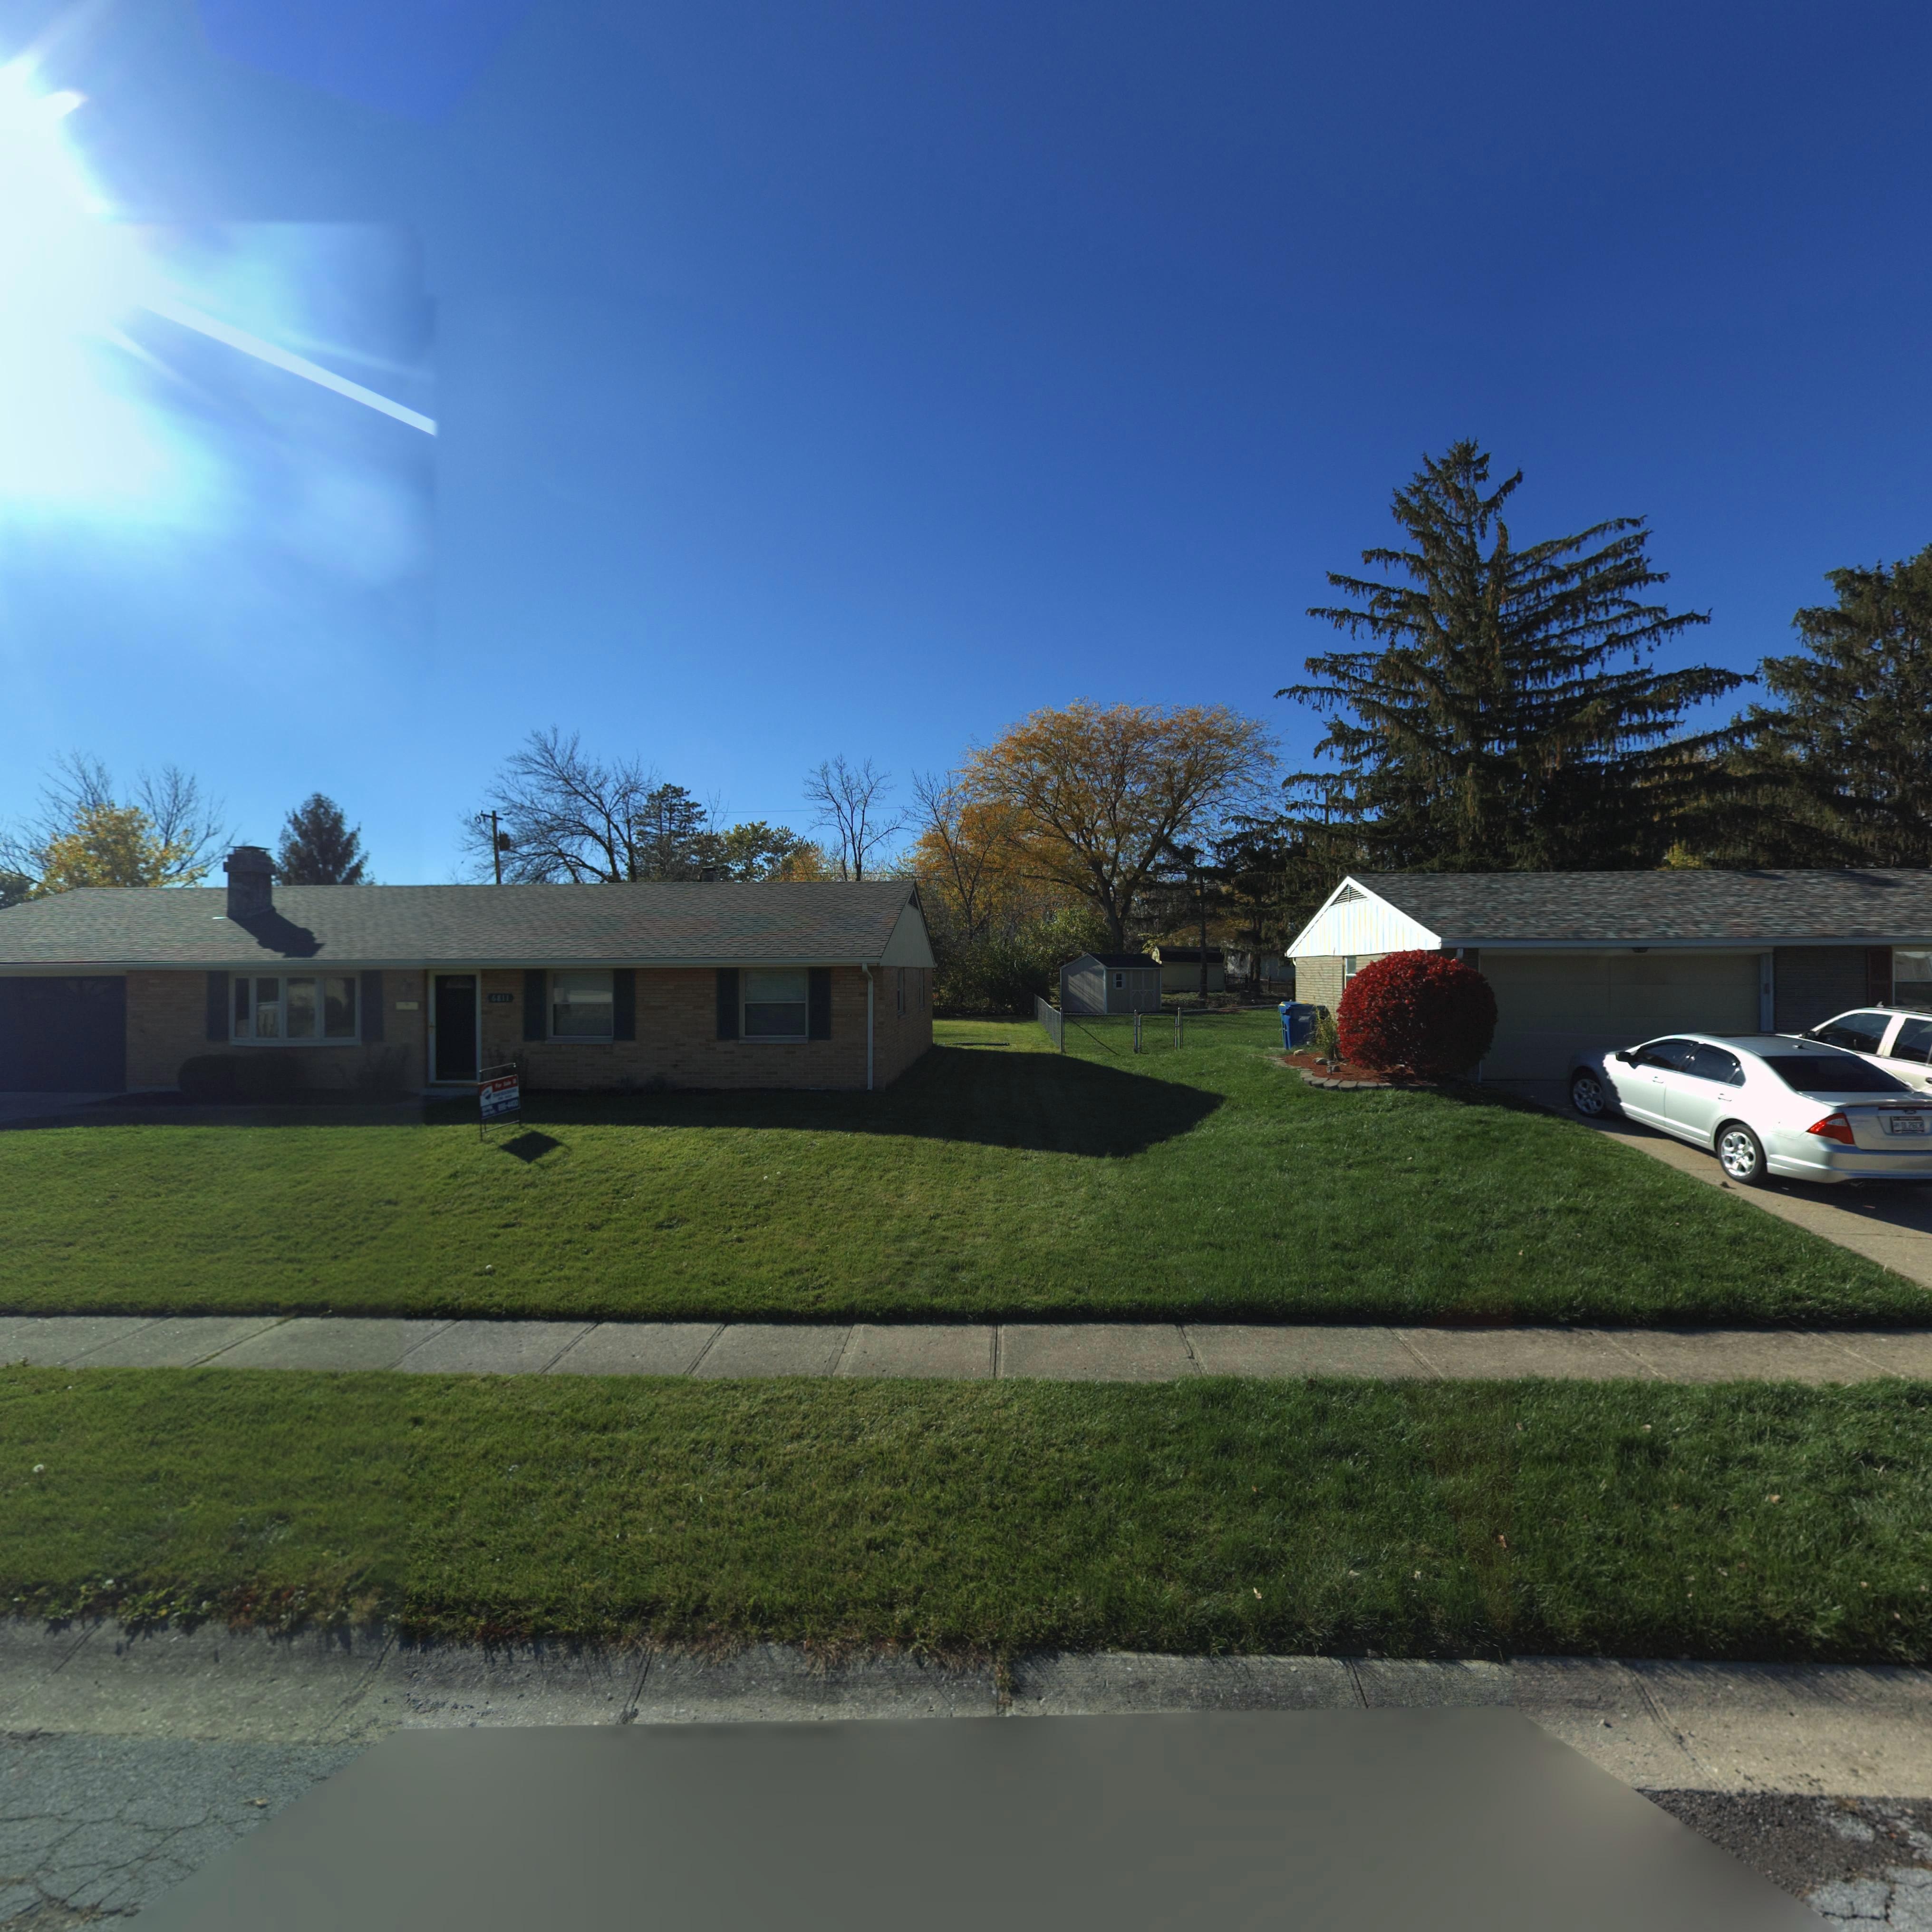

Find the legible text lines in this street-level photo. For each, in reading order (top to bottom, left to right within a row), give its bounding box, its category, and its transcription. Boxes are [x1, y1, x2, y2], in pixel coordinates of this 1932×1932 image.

[491, 994, 510, 1002] StreetNumber: 68*1